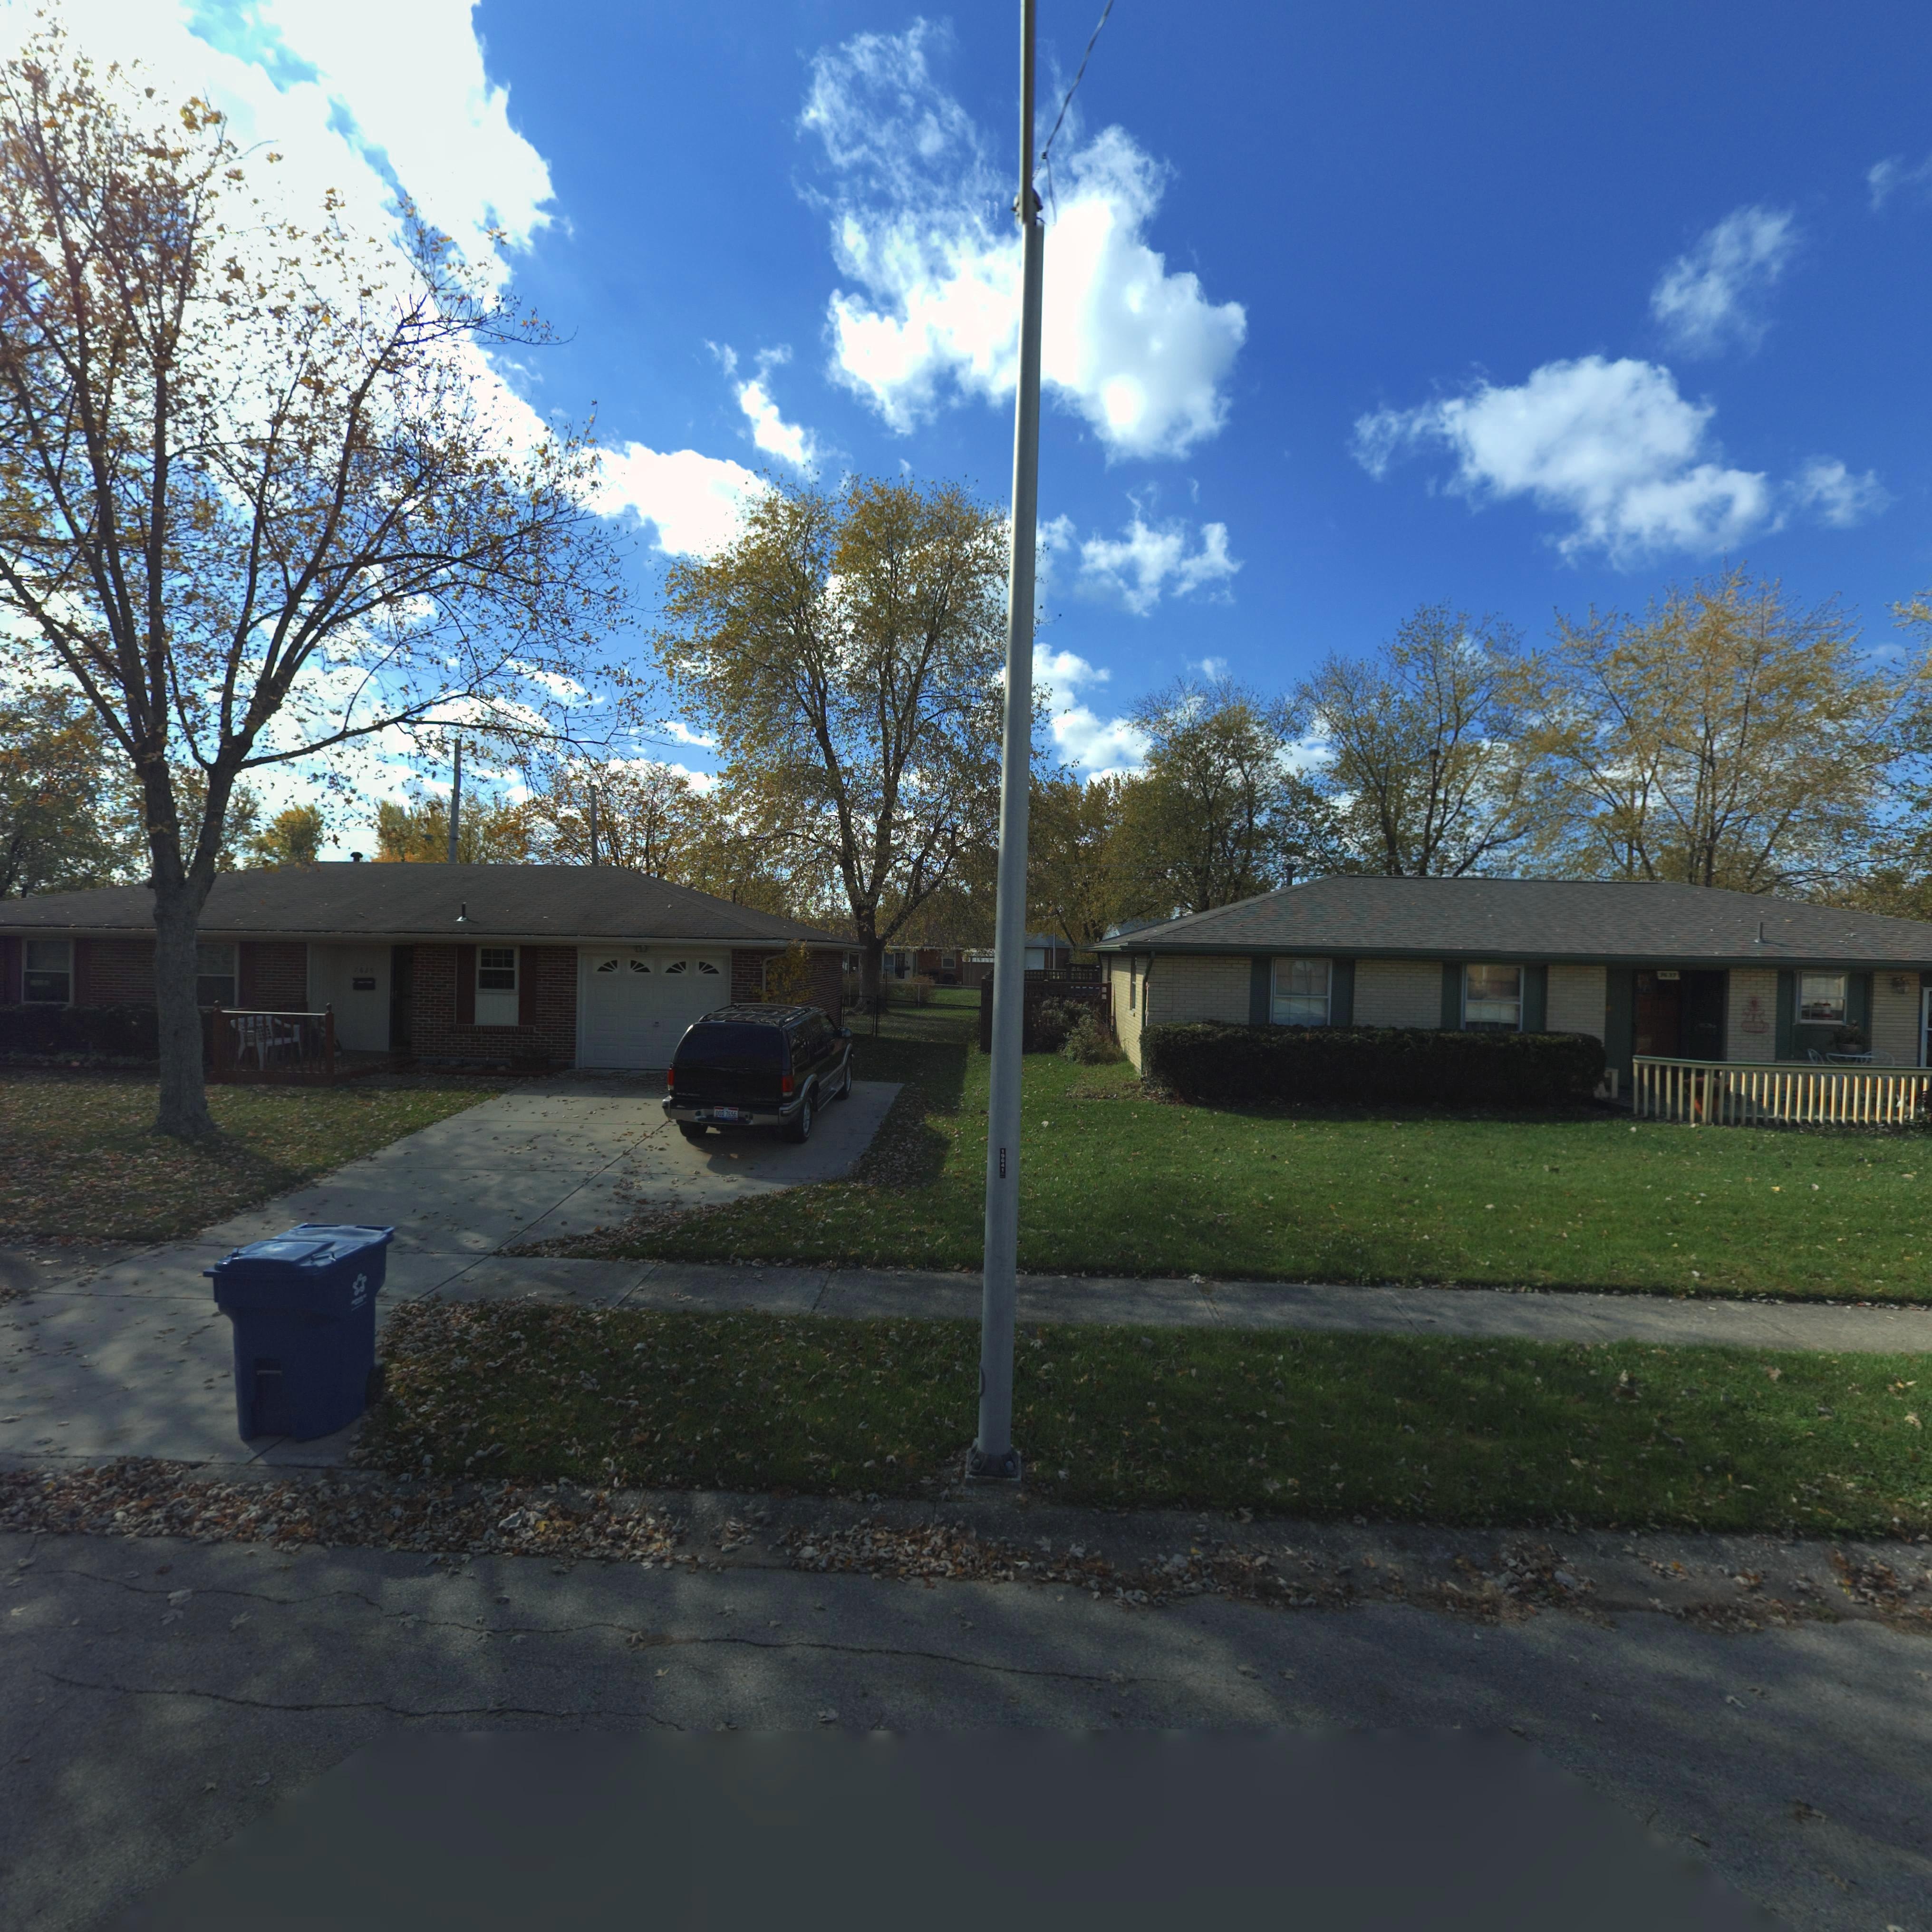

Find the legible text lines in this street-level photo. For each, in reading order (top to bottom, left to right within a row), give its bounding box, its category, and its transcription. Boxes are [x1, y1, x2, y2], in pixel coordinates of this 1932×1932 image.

[353, 966, 376, 975] StreetNumber: ***5
[1658, 971, 1678, 979] StreetNumber: ***7